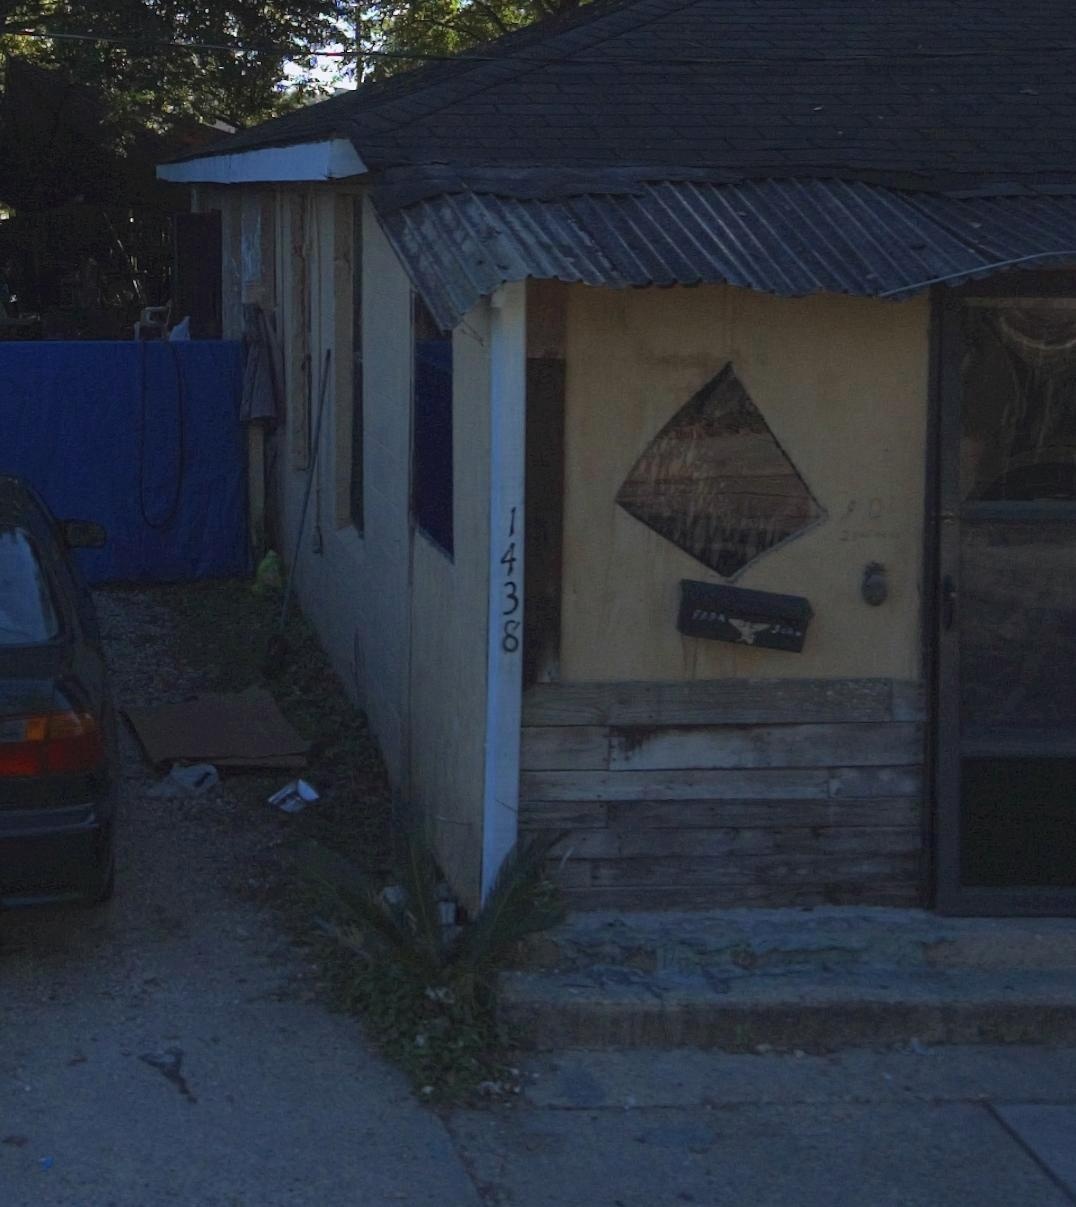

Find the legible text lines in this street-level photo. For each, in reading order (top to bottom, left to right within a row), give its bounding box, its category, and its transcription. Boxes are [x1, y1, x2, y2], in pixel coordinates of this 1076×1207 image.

[498, 503, 523, 657] StreetNumber: 1438